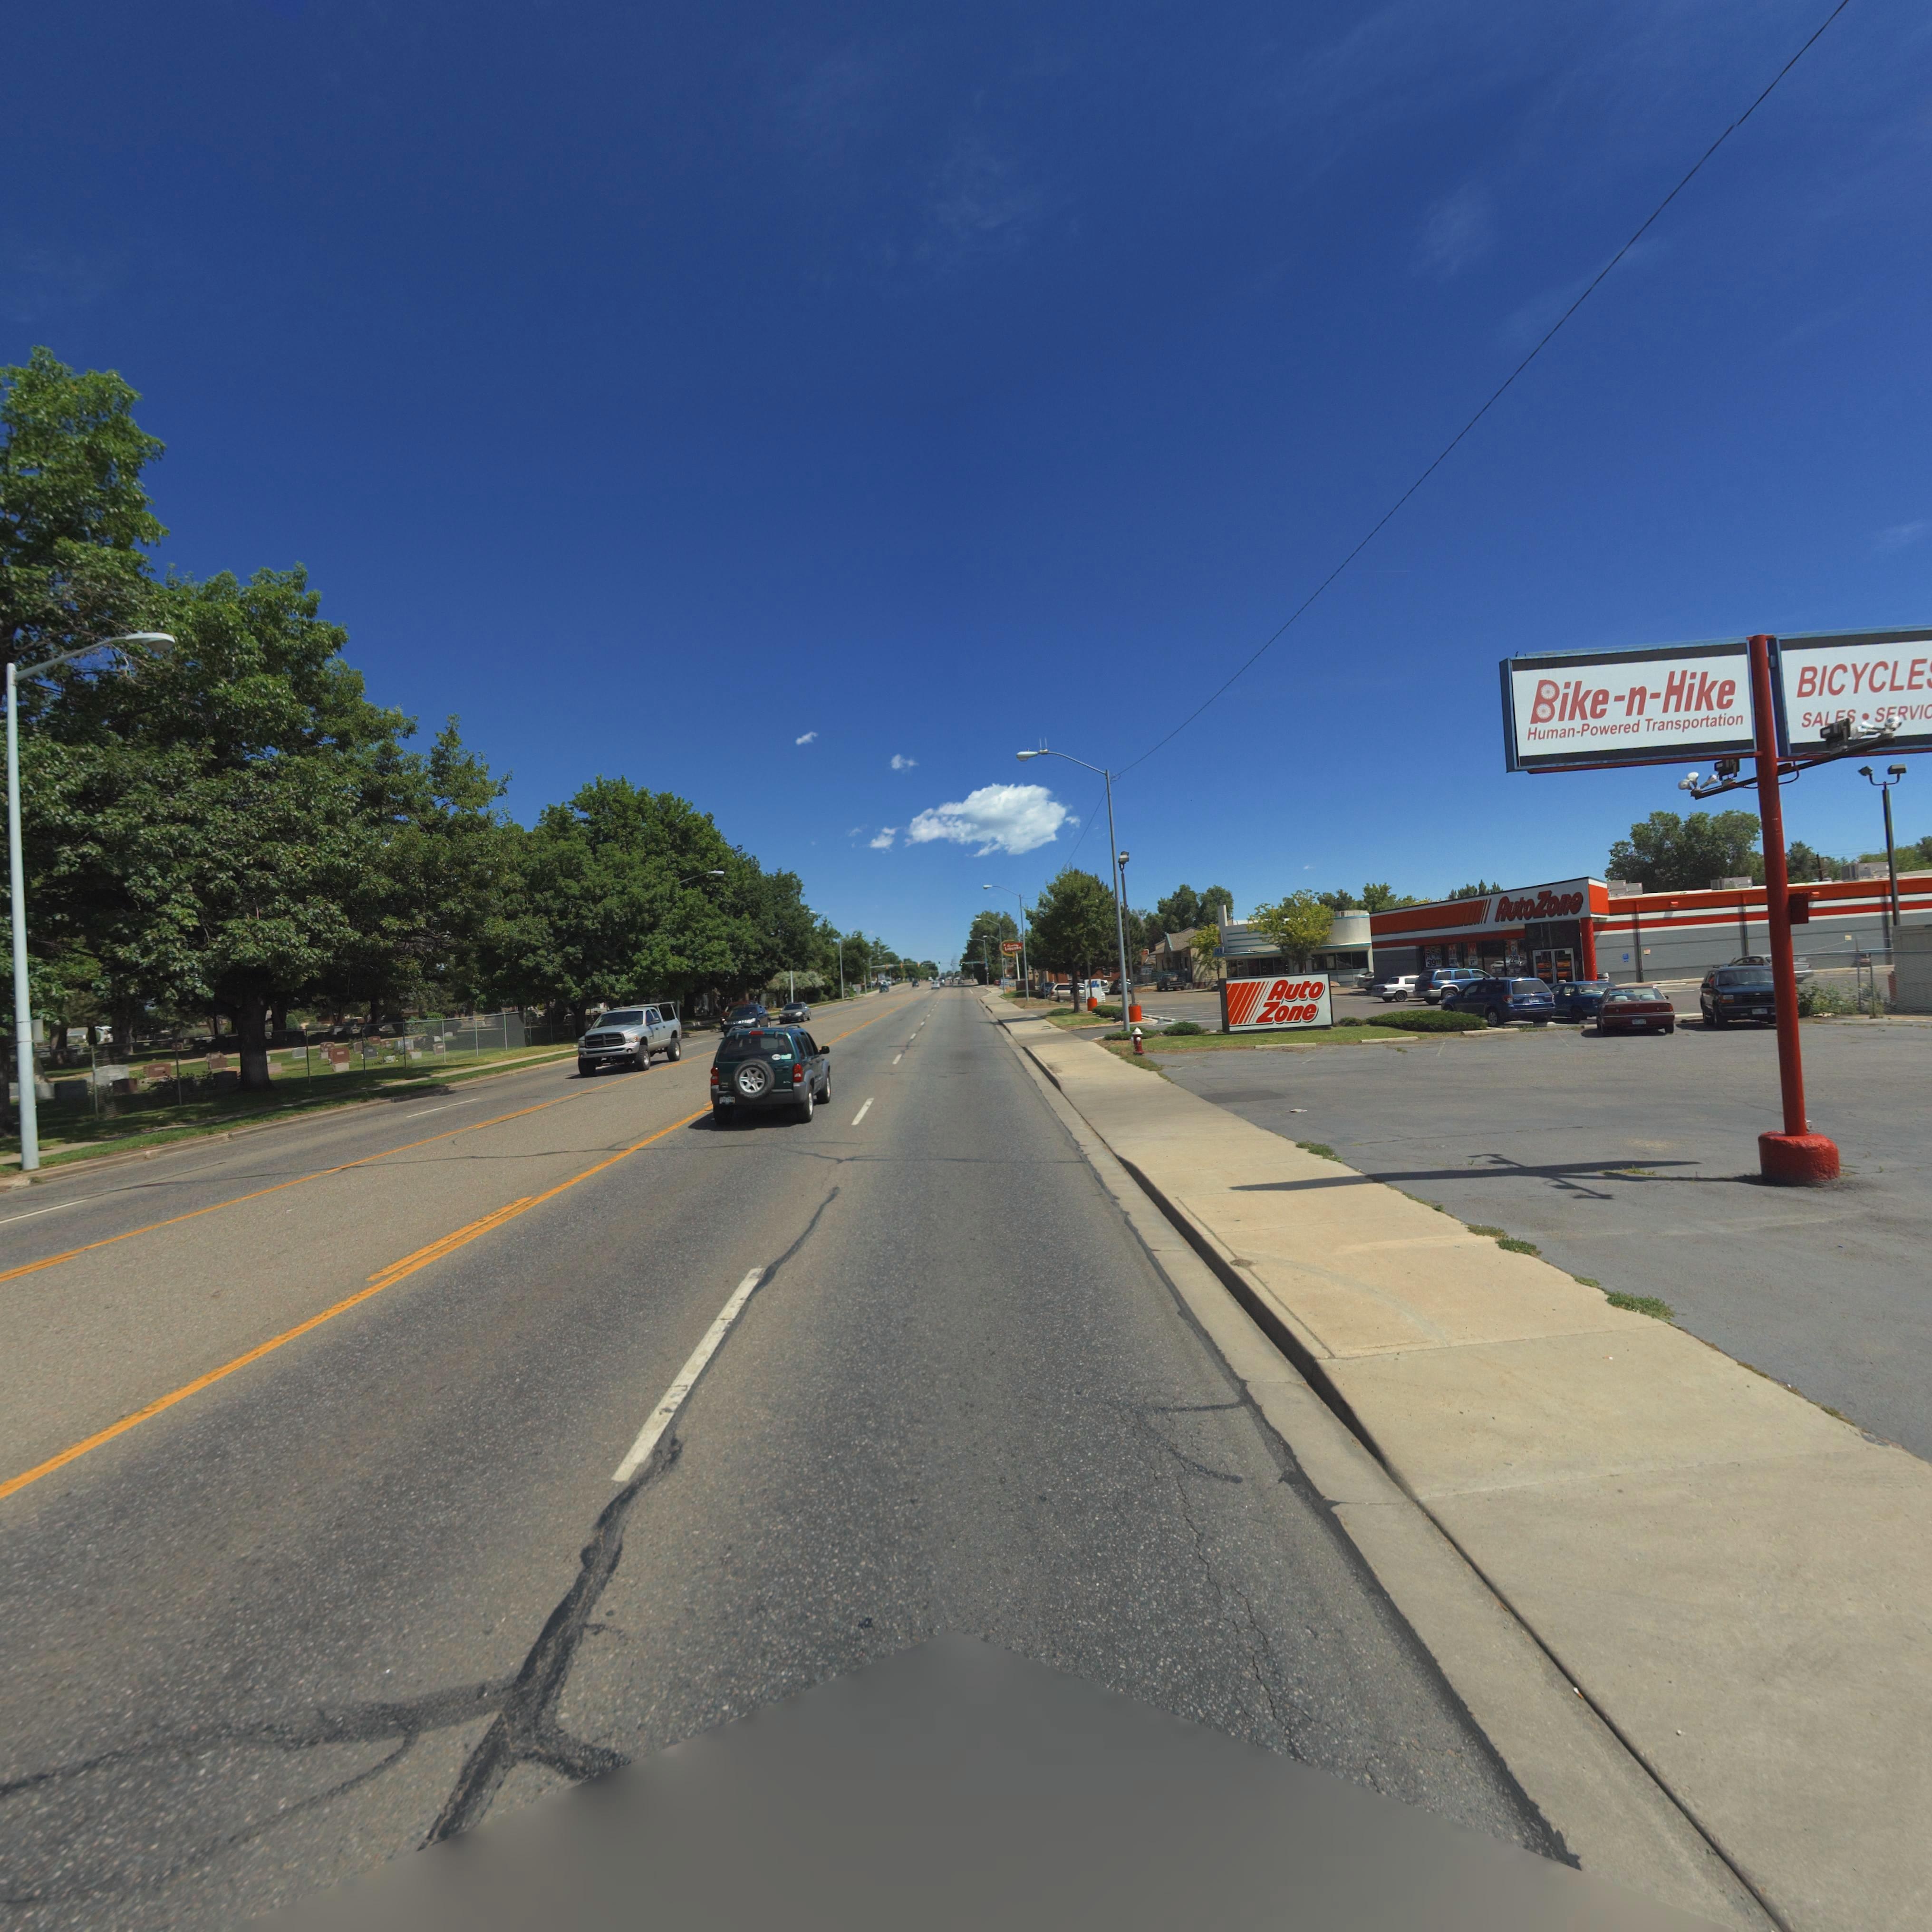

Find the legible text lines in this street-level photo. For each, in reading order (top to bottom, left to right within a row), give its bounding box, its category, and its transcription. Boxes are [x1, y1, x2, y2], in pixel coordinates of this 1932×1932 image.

[1529, 669, 1736, 725] BusinessName: Bike-n-Hike
[1494, 889, 1584, 922] BusinessName: AutoZo**
[1086, 983, 1100, 988] BusinessName: **W*
[1092, 980, 1097, 984] BusinessName: *Z
[1266, 979, 1324, 1001] BusinessName: Auto
[1254, 1001, 1319, 1024] BusinessName: Zone